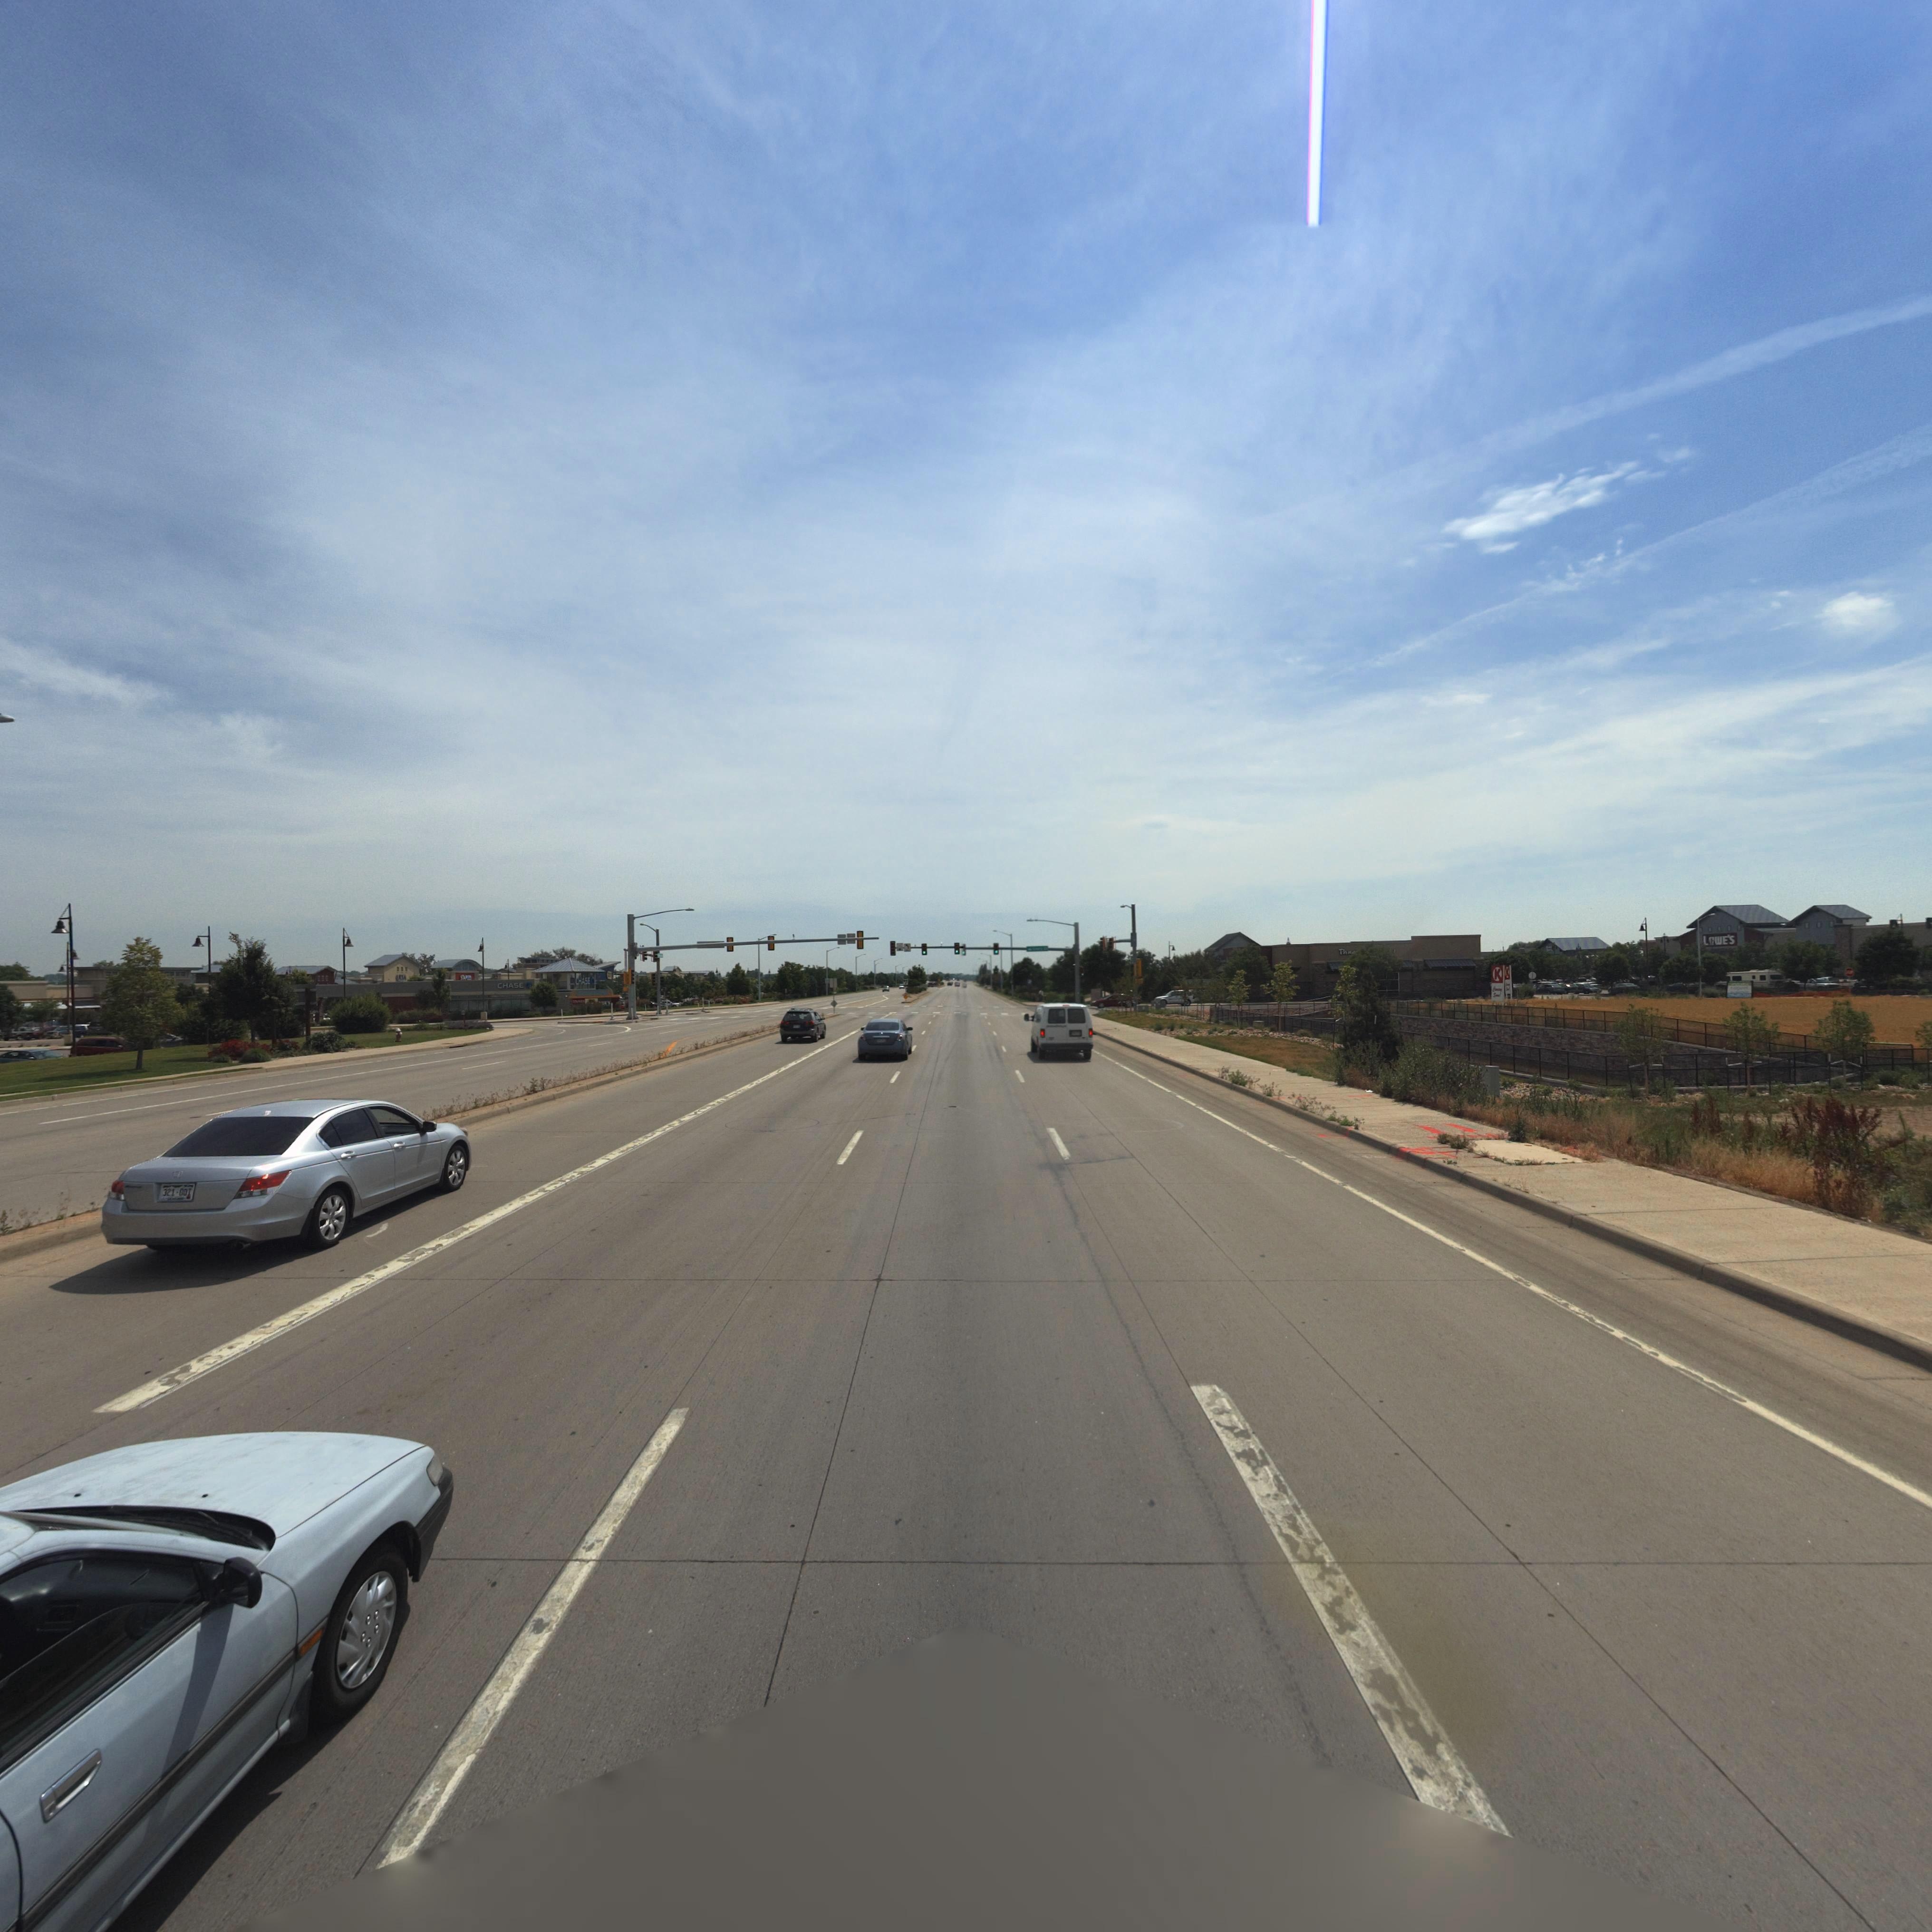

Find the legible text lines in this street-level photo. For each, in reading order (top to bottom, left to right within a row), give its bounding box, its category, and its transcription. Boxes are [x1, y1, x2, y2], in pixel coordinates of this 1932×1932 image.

[1702, 934, 1735, 946] BusinessName: LOwE'S
[1338, 948, 1352, 955] BusinessName: Pan
[460, 975, 472, 980] BusinessName: S**P***
[575, 977, 590, 985] BusinessName: CHASE
[497, 982, 523, 989] BusinessName: CHASE
[572, 1000, 585, 1003] BusinessName: ***P***
[598, 1001, 610, 1005] BusinessName: **CK'S